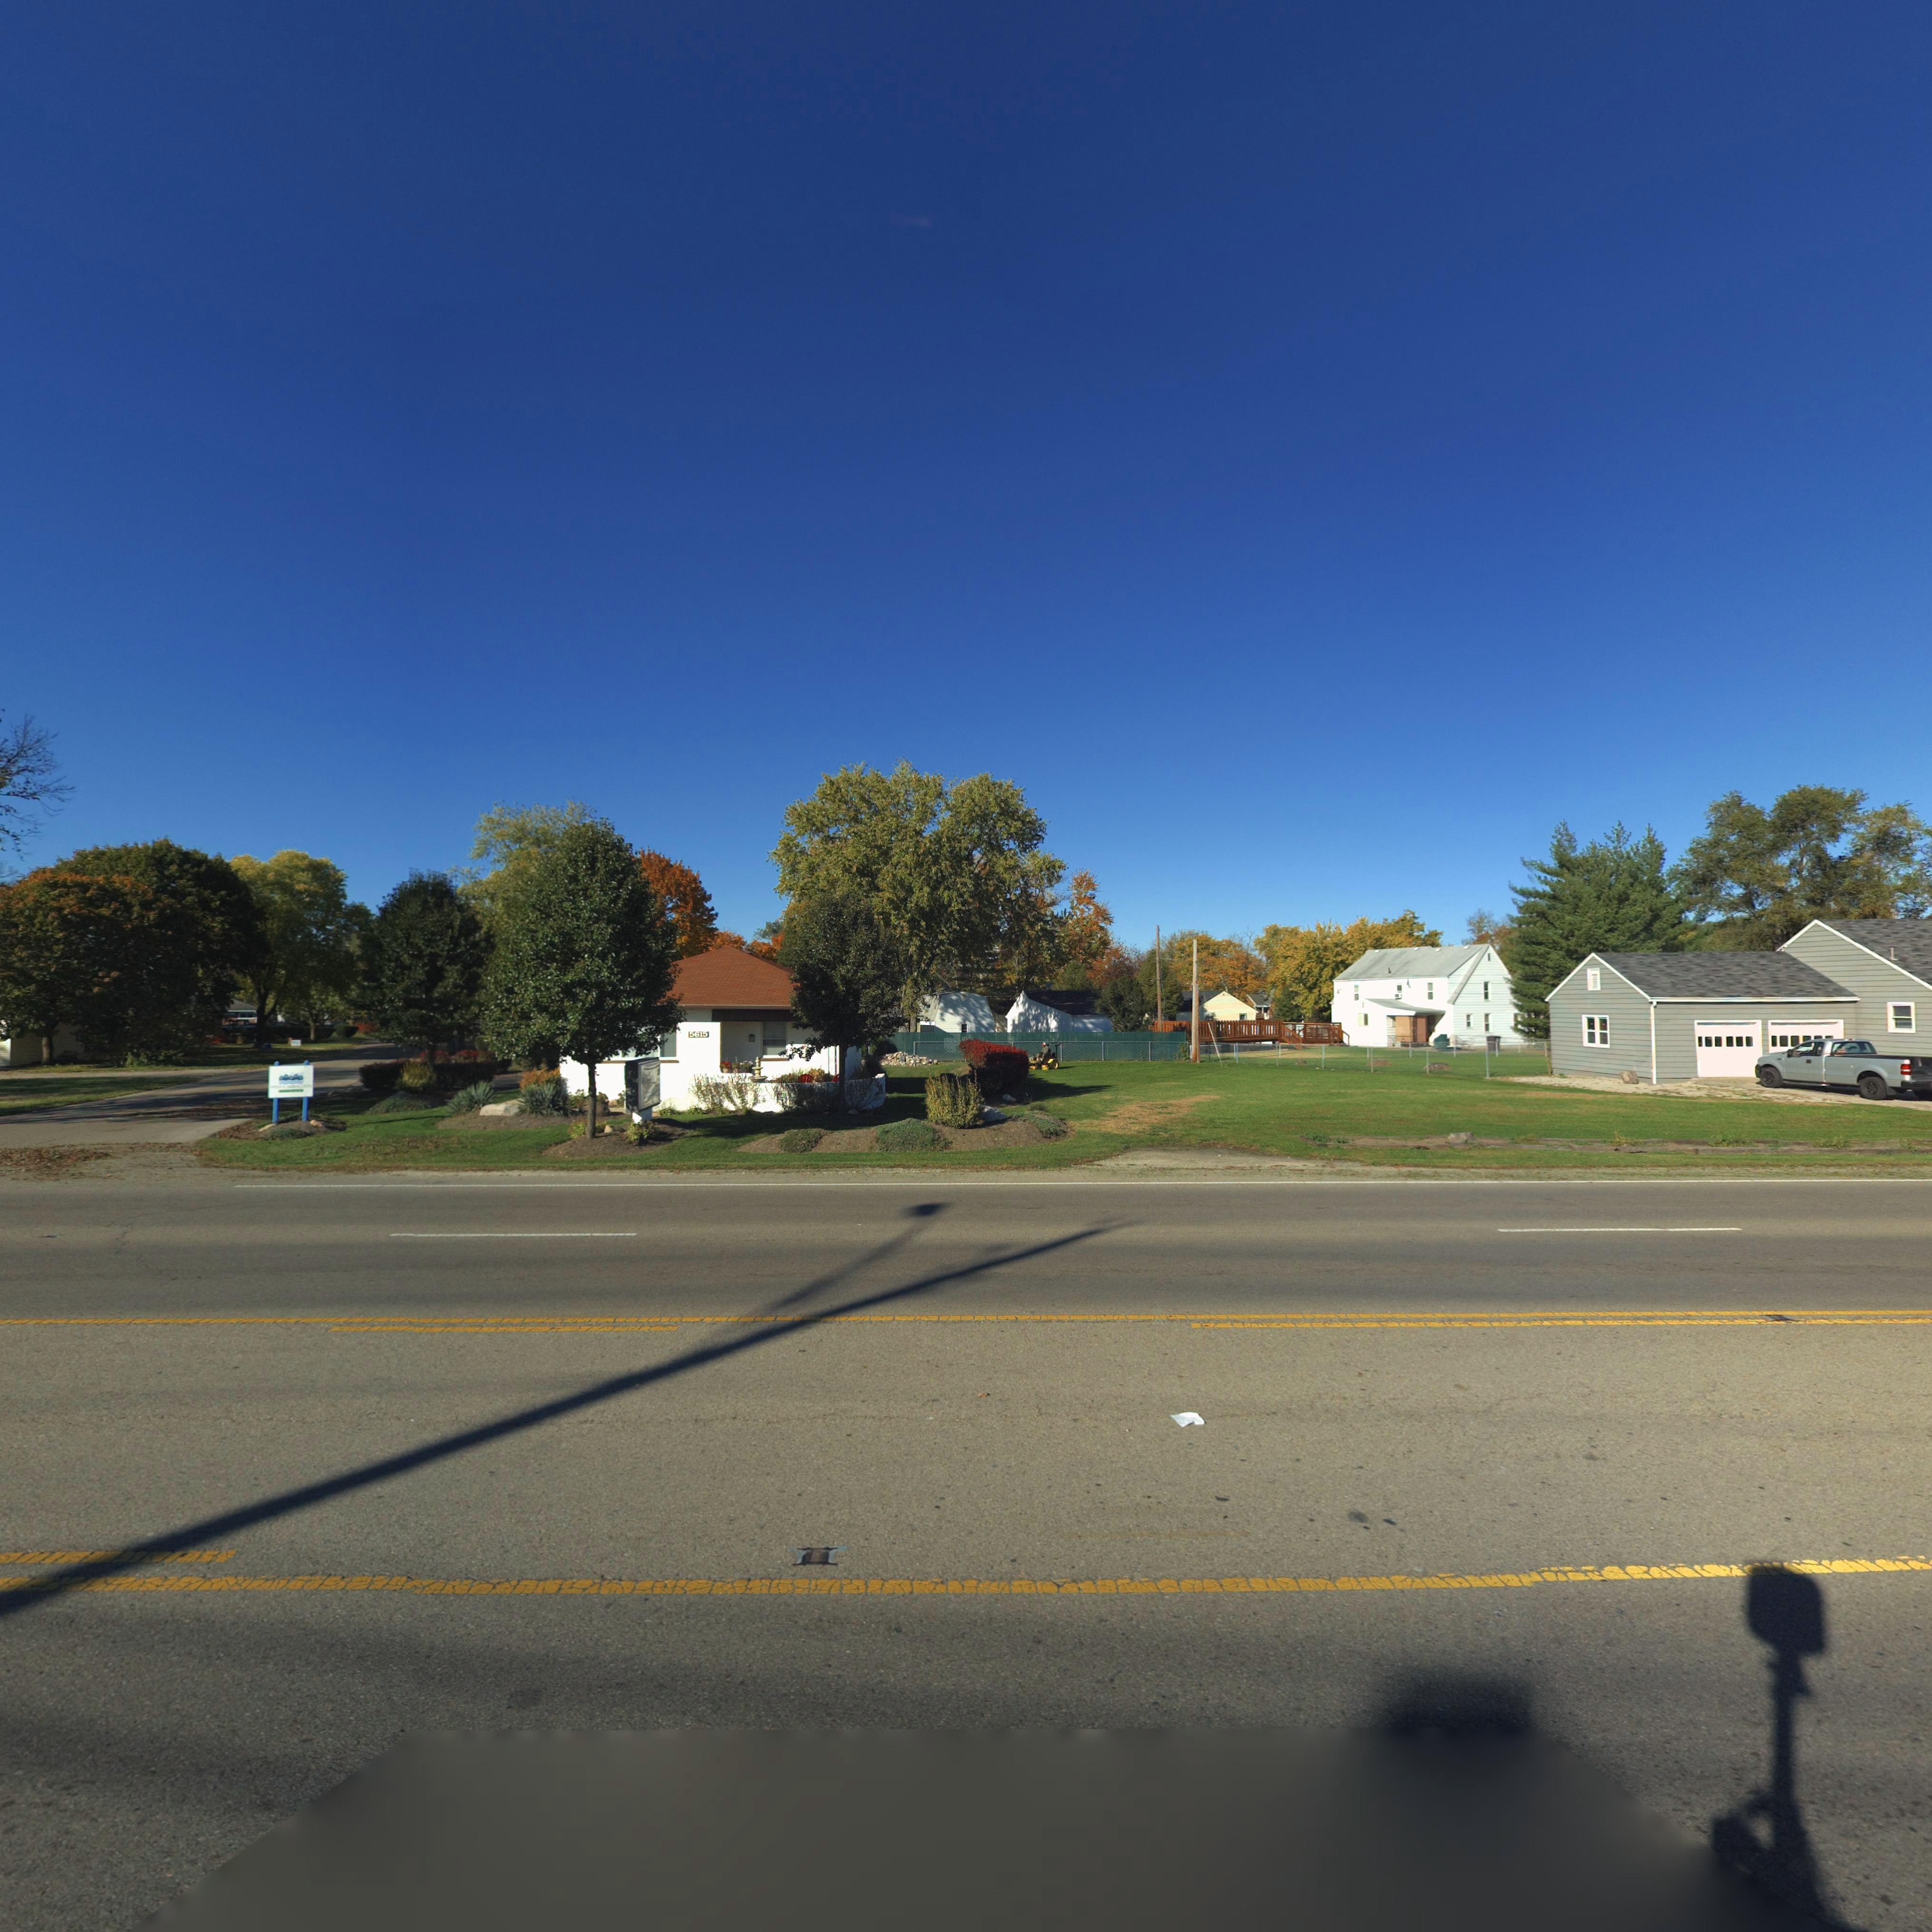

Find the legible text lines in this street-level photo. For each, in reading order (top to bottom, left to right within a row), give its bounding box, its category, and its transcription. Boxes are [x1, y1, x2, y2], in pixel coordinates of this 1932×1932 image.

[689, 1031, 708, 1037] StreetNumber: 5615